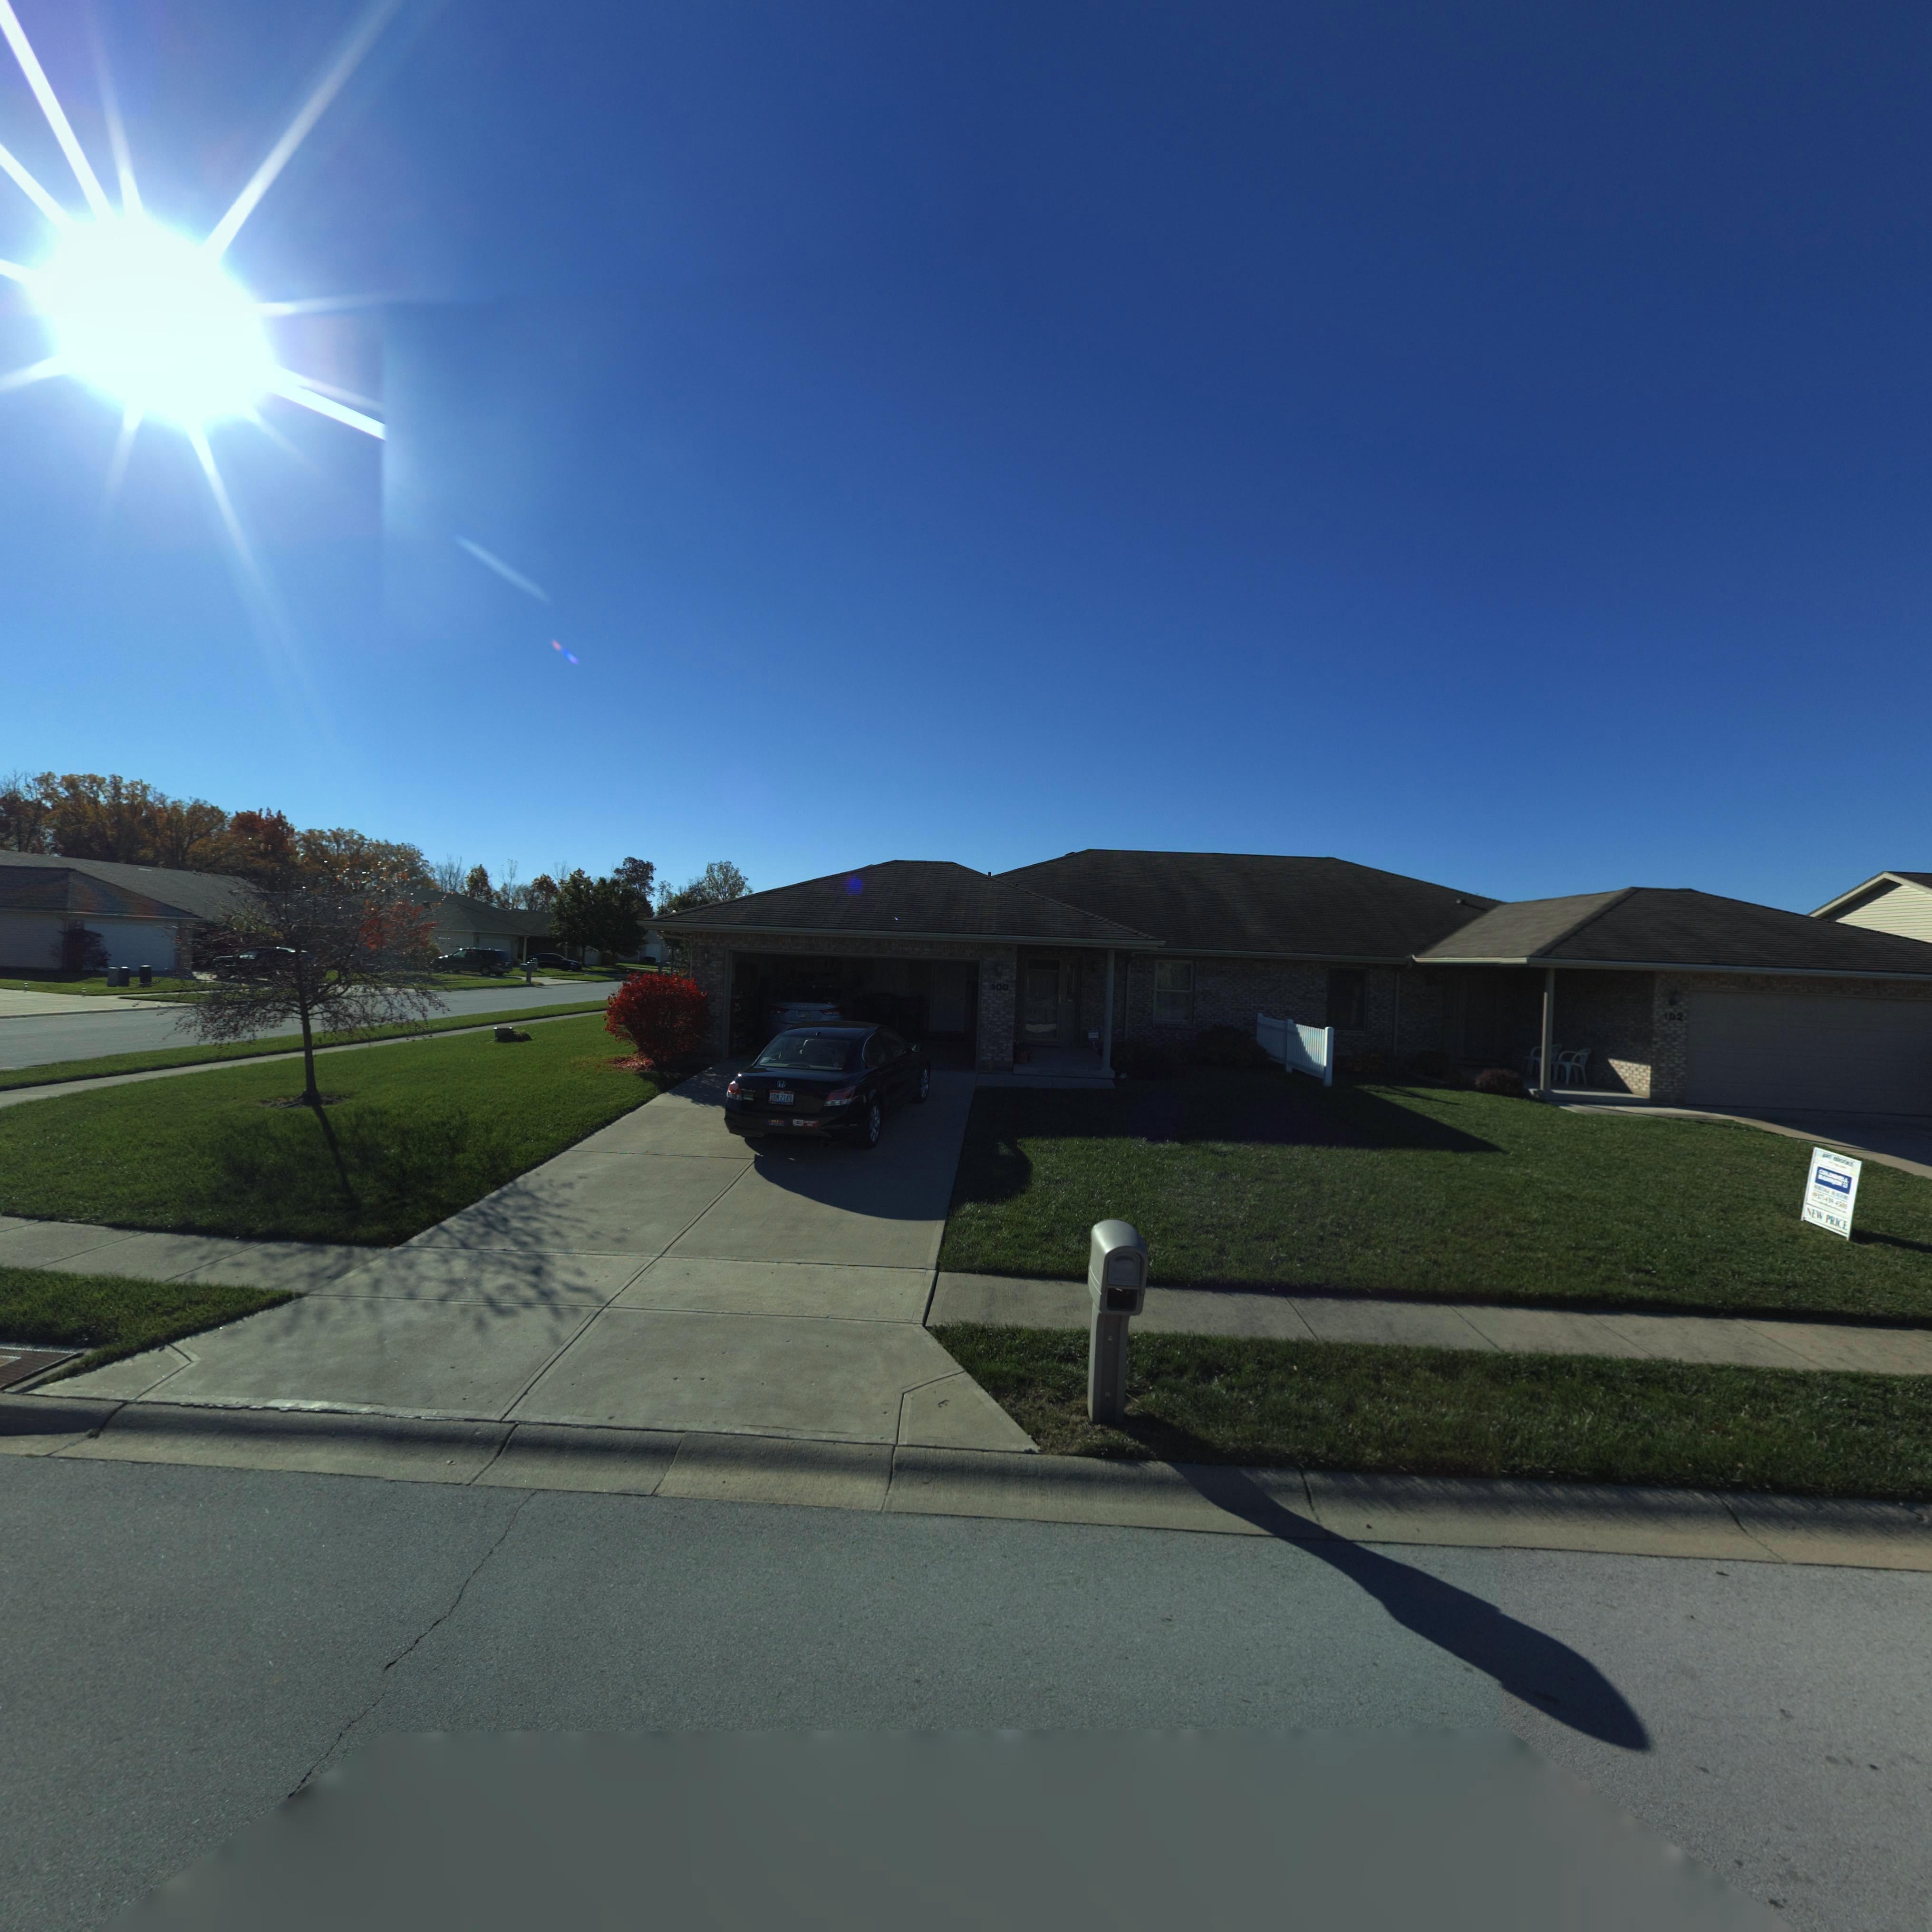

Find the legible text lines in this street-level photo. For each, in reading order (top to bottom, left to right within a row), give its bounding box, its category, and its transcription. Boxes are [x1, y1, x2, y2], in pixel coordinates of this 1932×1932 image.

[990, 981, 1009, 993] StreetNumber: 100
[1662, 1010, 1685, 1022] StreetNumber: 102